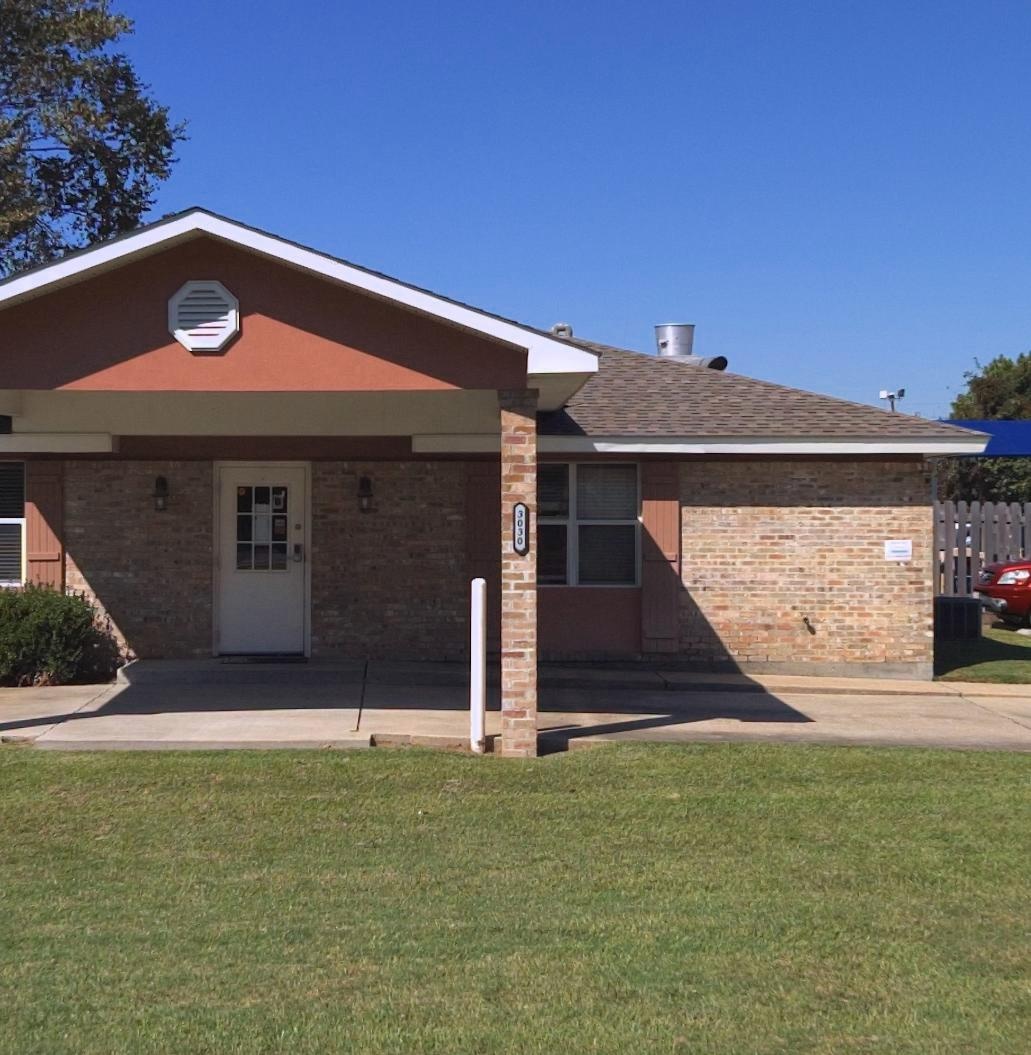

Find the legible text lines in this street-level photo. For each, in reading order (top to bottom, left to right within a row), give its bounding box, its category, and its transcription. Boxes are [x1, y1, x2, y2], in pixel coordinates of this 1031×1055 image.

[515, 507, 526, 548] StreetNumber: 3030